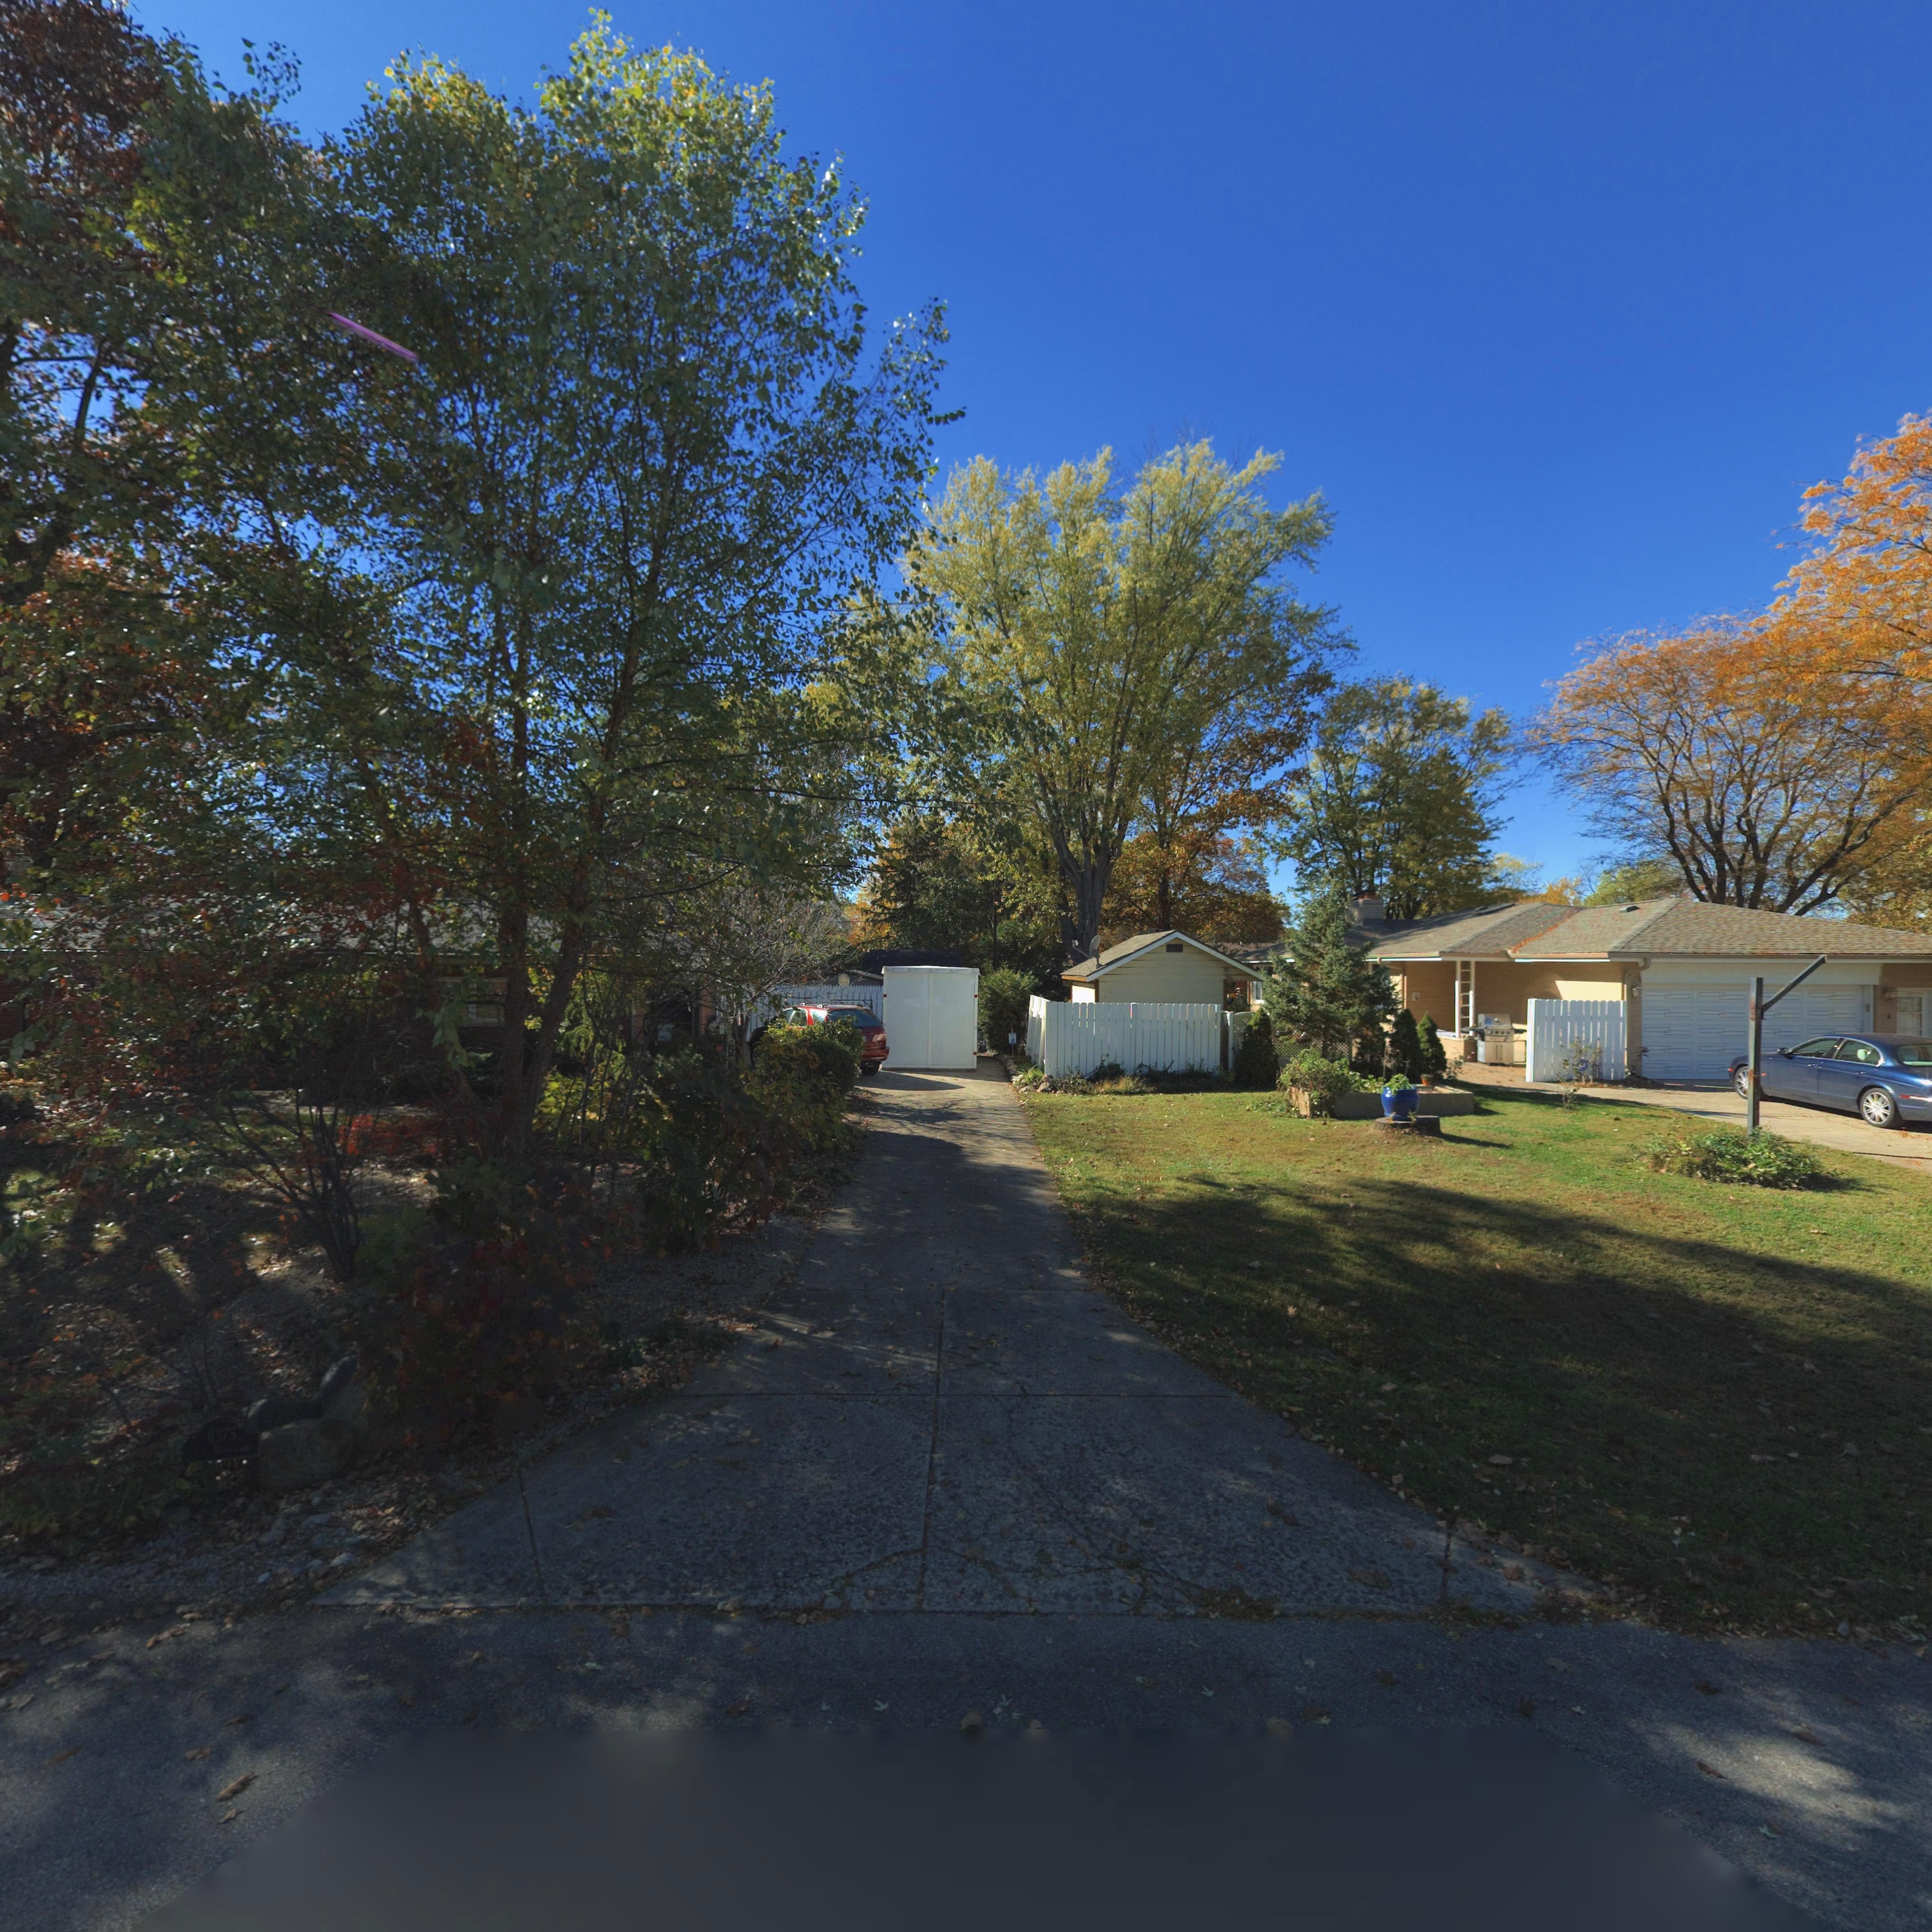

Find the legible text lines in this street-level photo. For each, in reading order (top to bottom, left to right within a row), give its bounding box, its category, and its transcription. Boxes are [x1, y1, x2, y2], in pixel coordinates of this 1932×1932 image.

[207, 1426, 237, 1445] StreetNumber: 6375